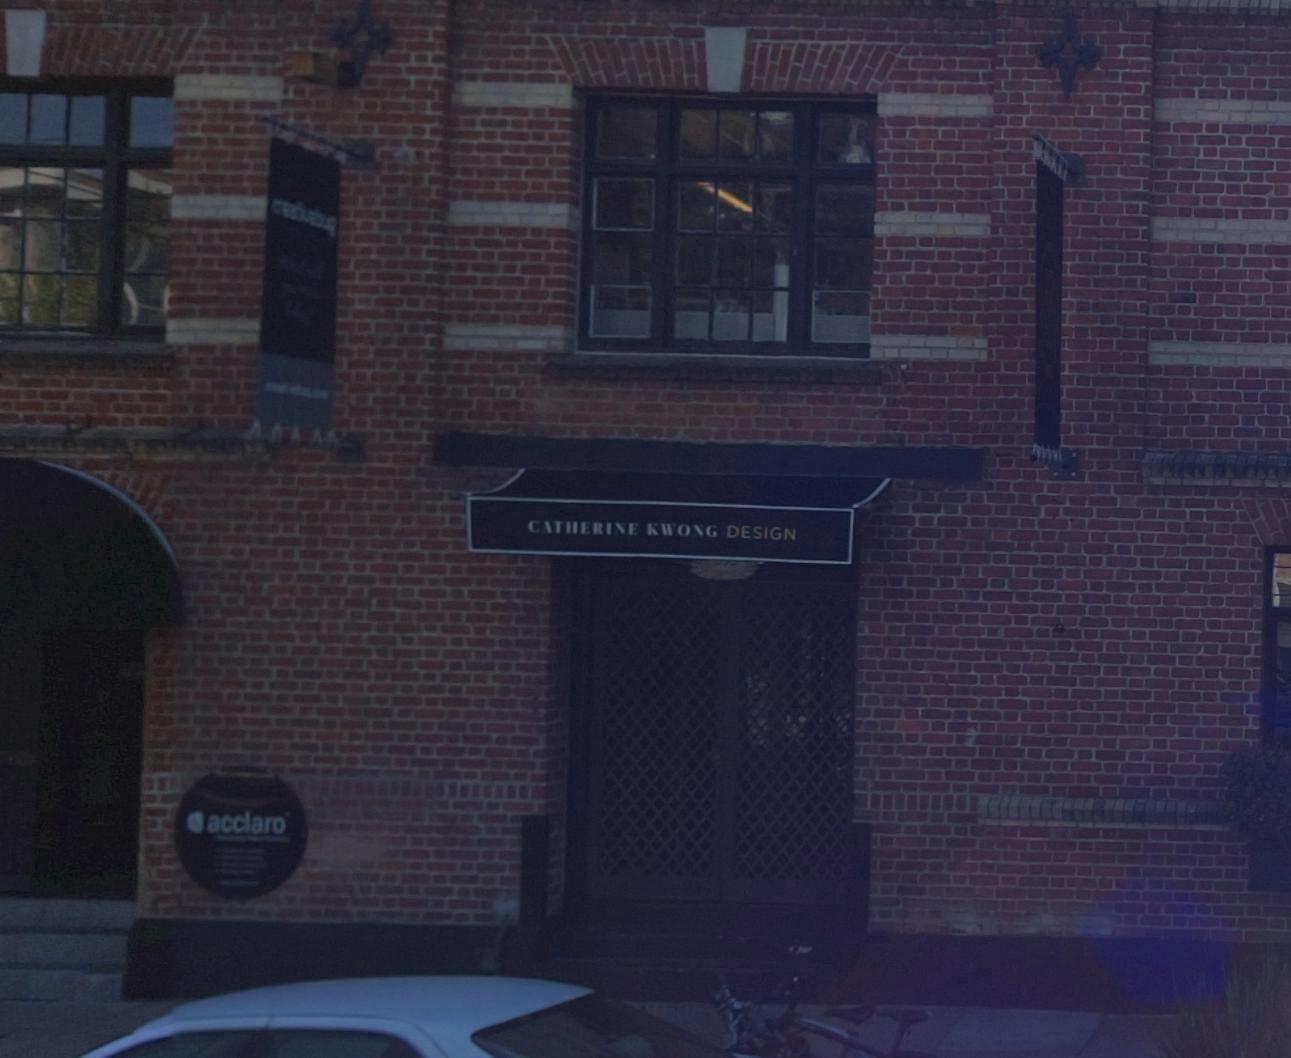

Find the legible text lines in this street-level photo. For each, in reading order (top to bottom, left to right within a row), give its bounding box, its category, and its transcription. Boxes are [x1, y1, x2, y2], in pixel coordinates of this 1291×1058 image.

[526, 518, 798, 542] BusinessName: Catherine Kwong Design
[206, 808, 286, 836] BusinessName: acclaro